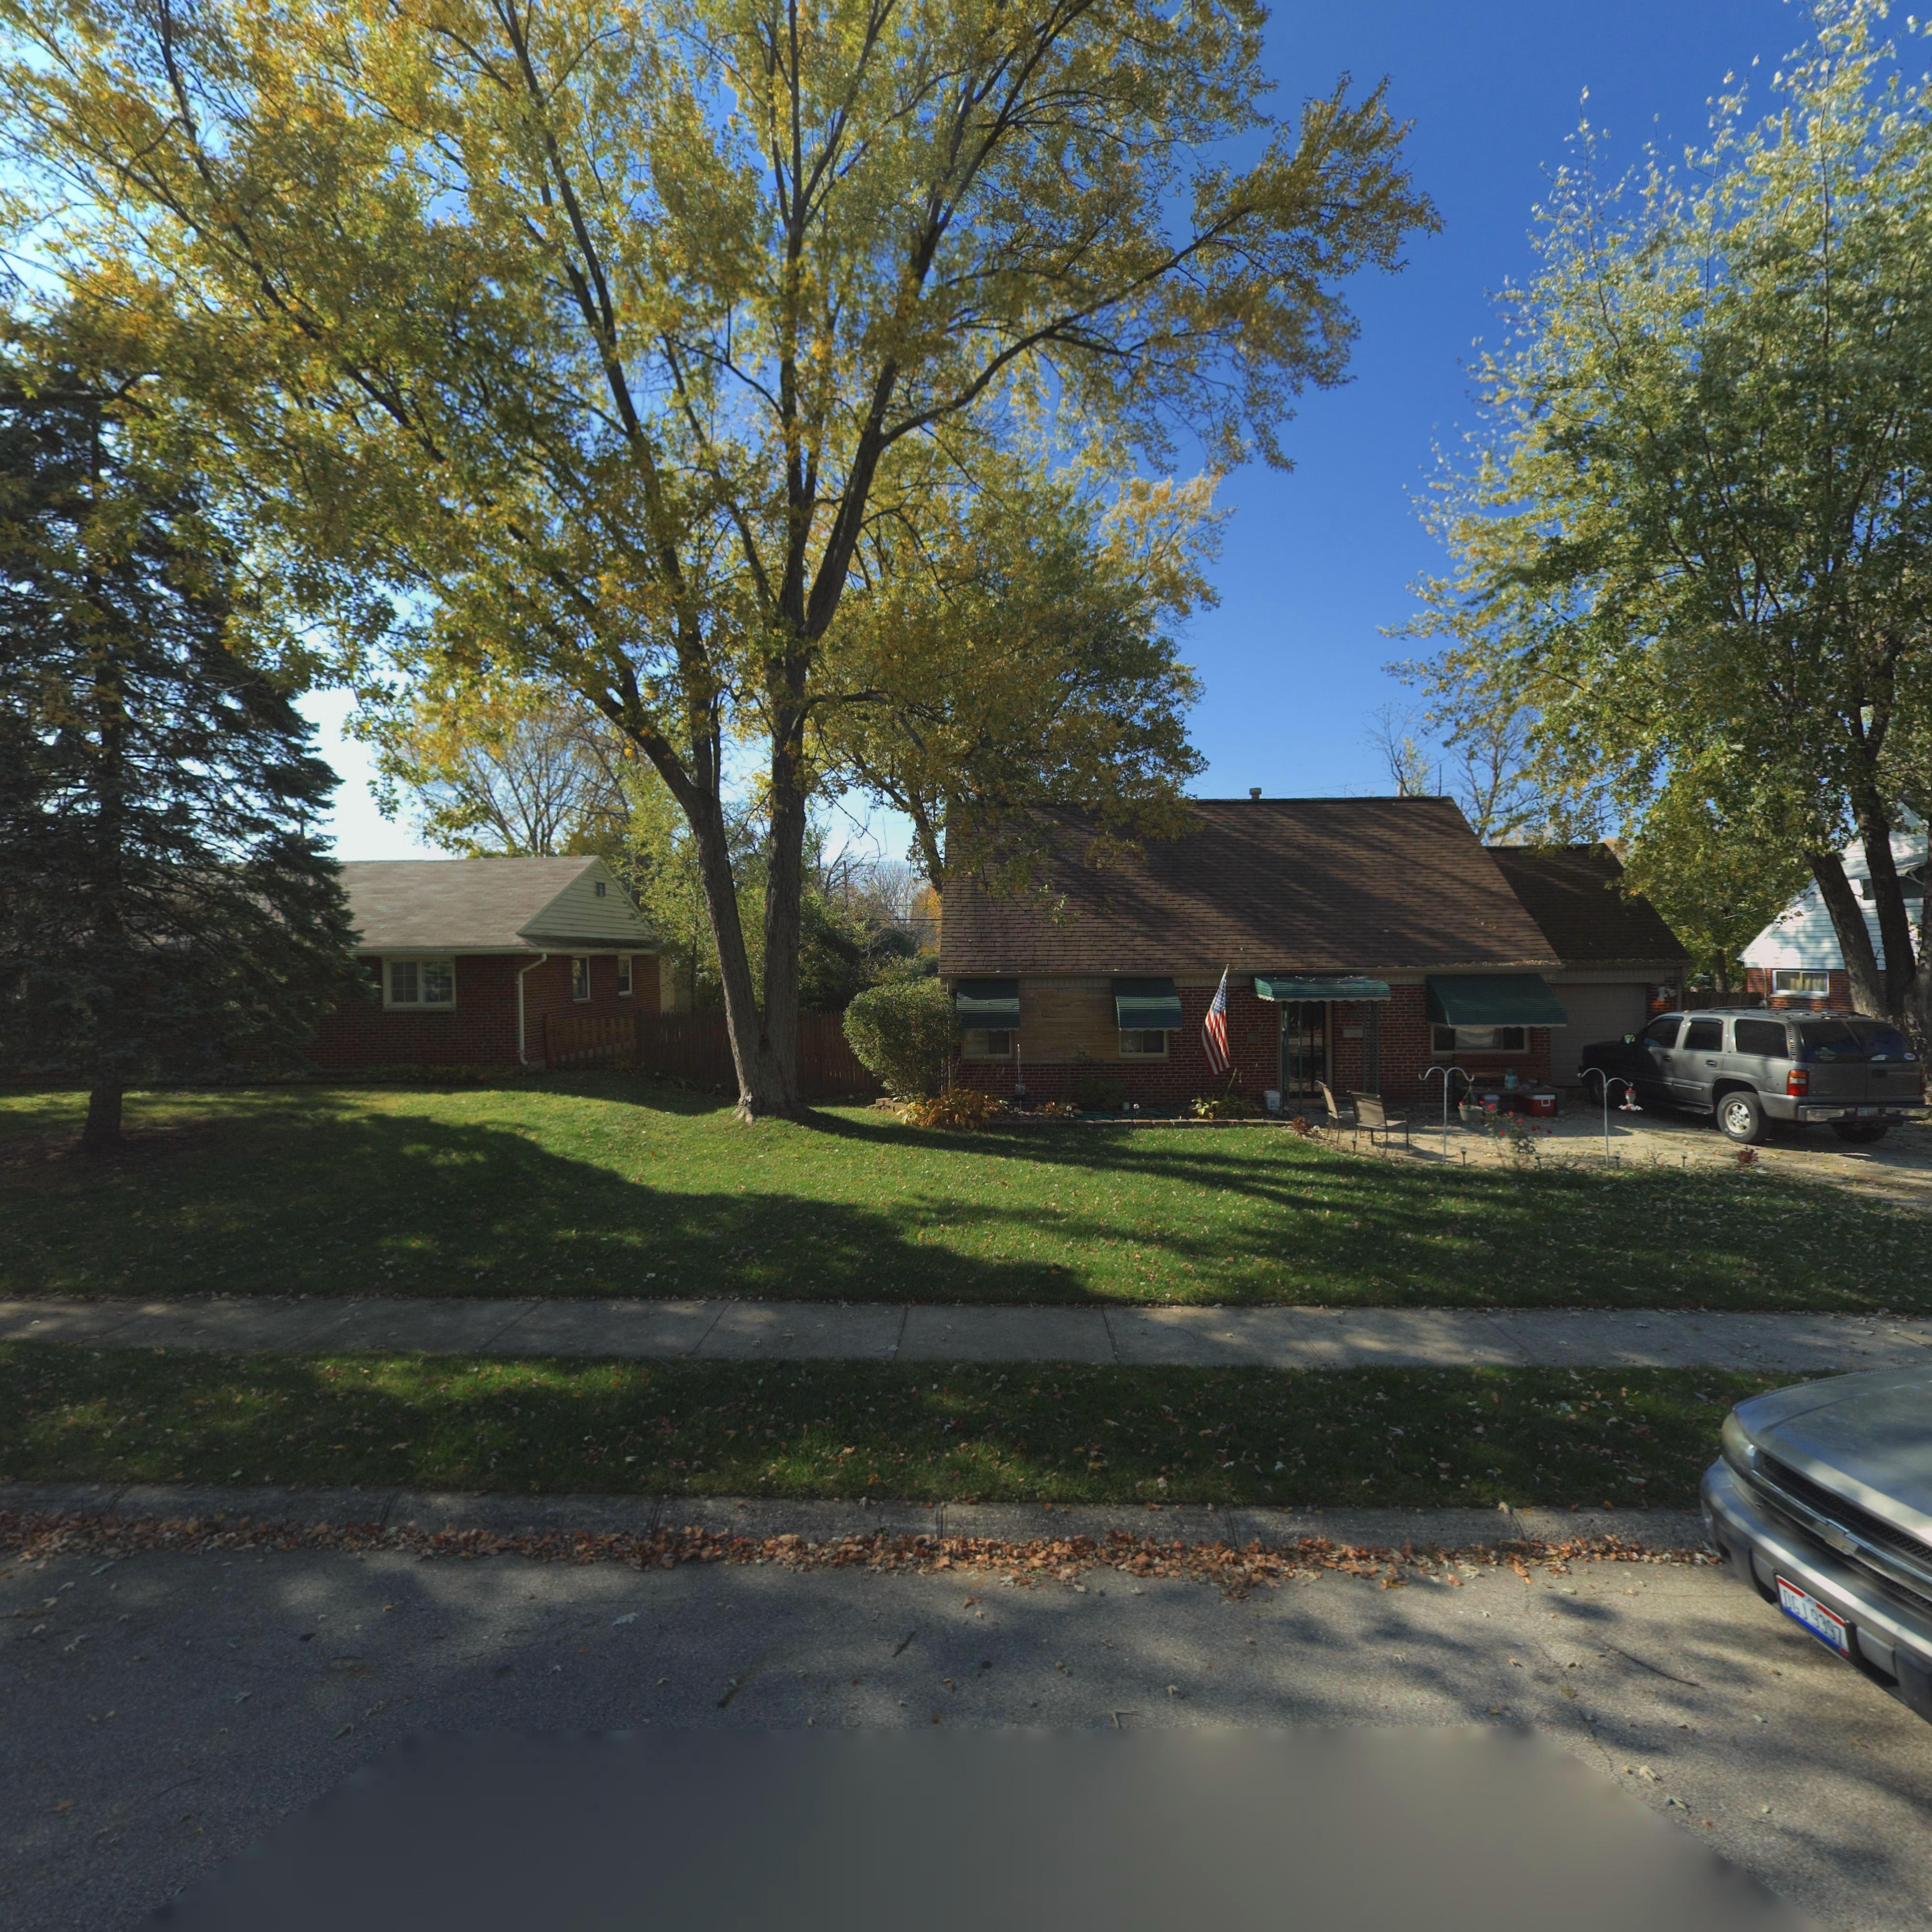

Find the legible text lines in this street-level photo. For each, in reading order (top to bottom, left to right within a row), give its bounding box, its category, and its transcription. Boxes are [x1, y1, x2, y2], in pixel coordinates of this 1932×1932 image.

[1783, 1589, 1843, 1648] None: DGJ*9397